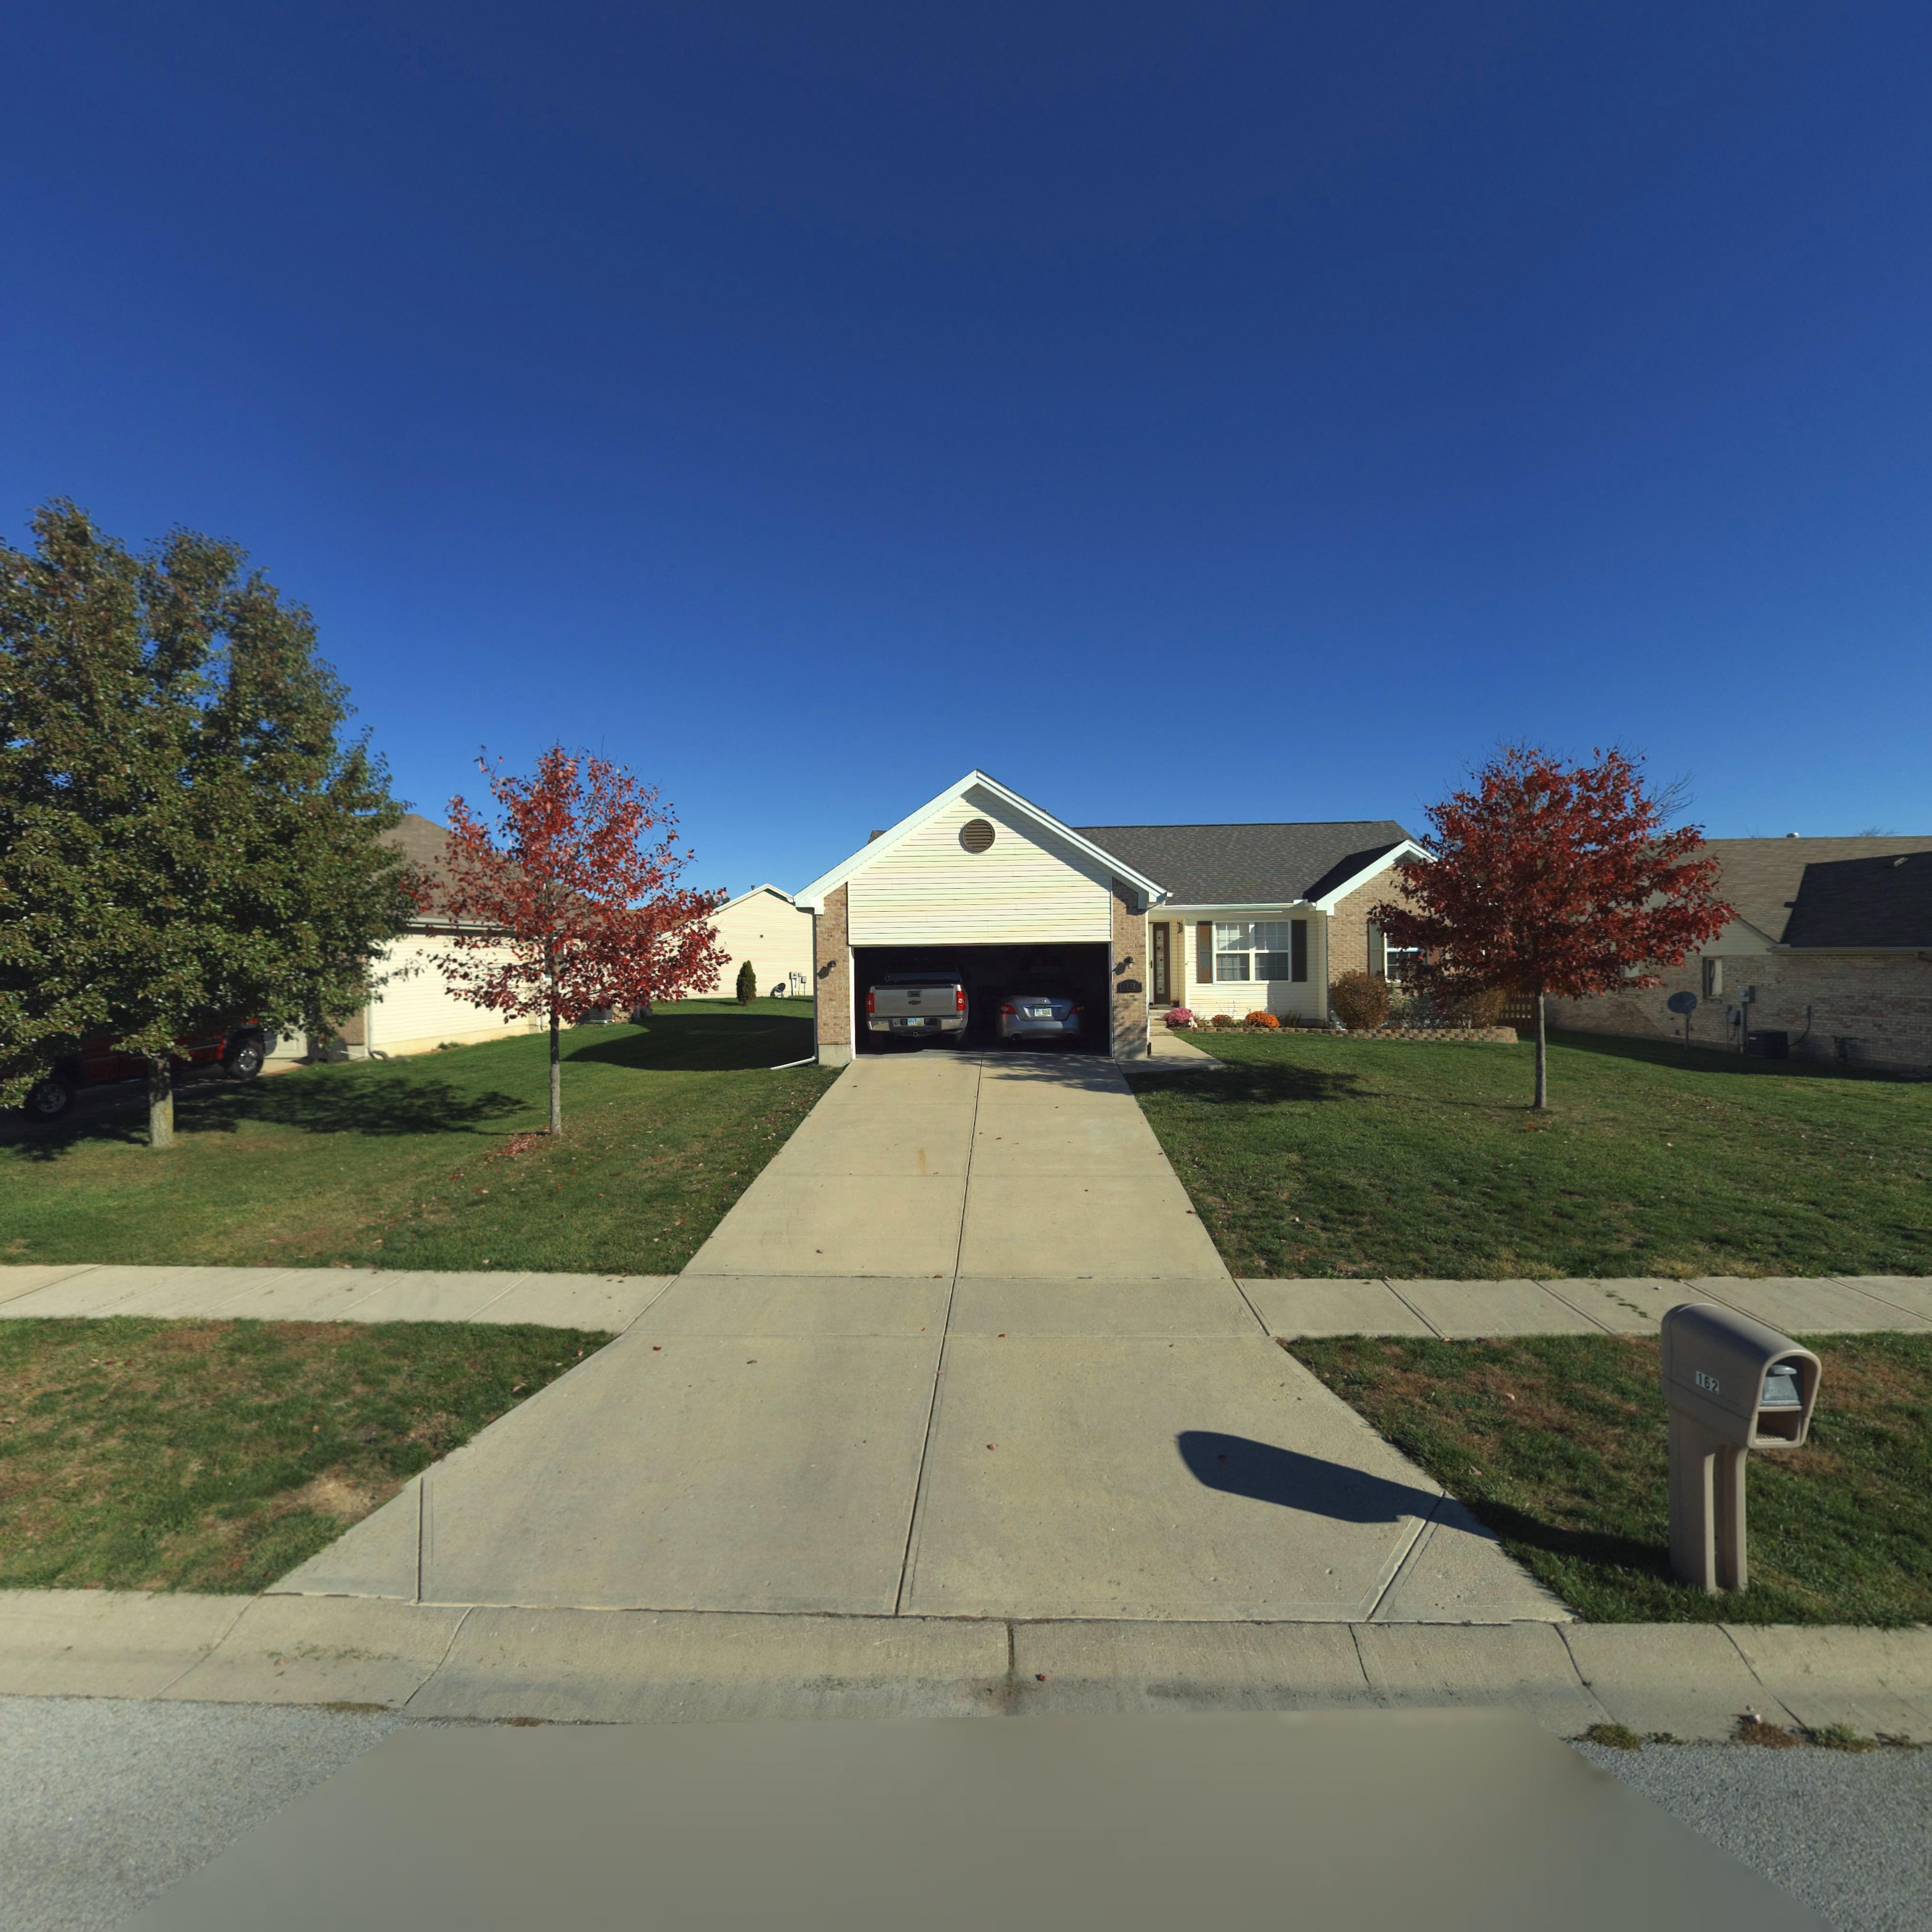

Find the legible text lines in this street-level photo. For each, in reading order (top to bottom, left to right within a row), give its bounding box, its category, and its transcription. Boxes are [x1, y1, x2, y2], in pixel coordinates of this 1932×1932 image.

[1126, 982, 1136, 989] StreetNumber: 162
[1698, 1372, 1718, 1394] StreetNumber: 162